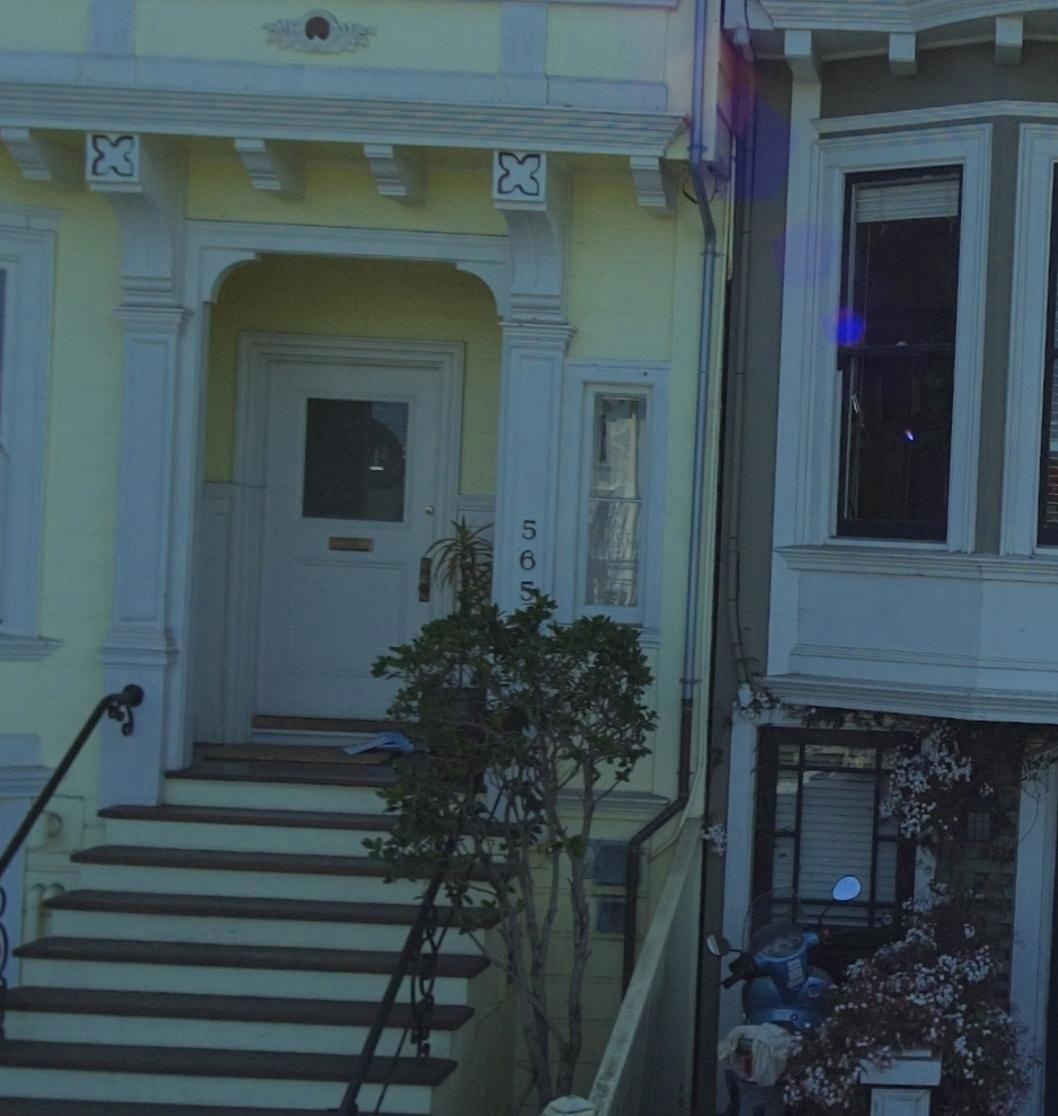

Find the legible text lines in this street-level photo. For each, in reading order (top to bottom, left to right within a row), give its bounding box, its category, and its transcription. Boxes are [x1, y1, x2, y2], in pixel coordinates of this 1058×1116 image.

[520, 519, 538, 603] StreetNumber: 56*